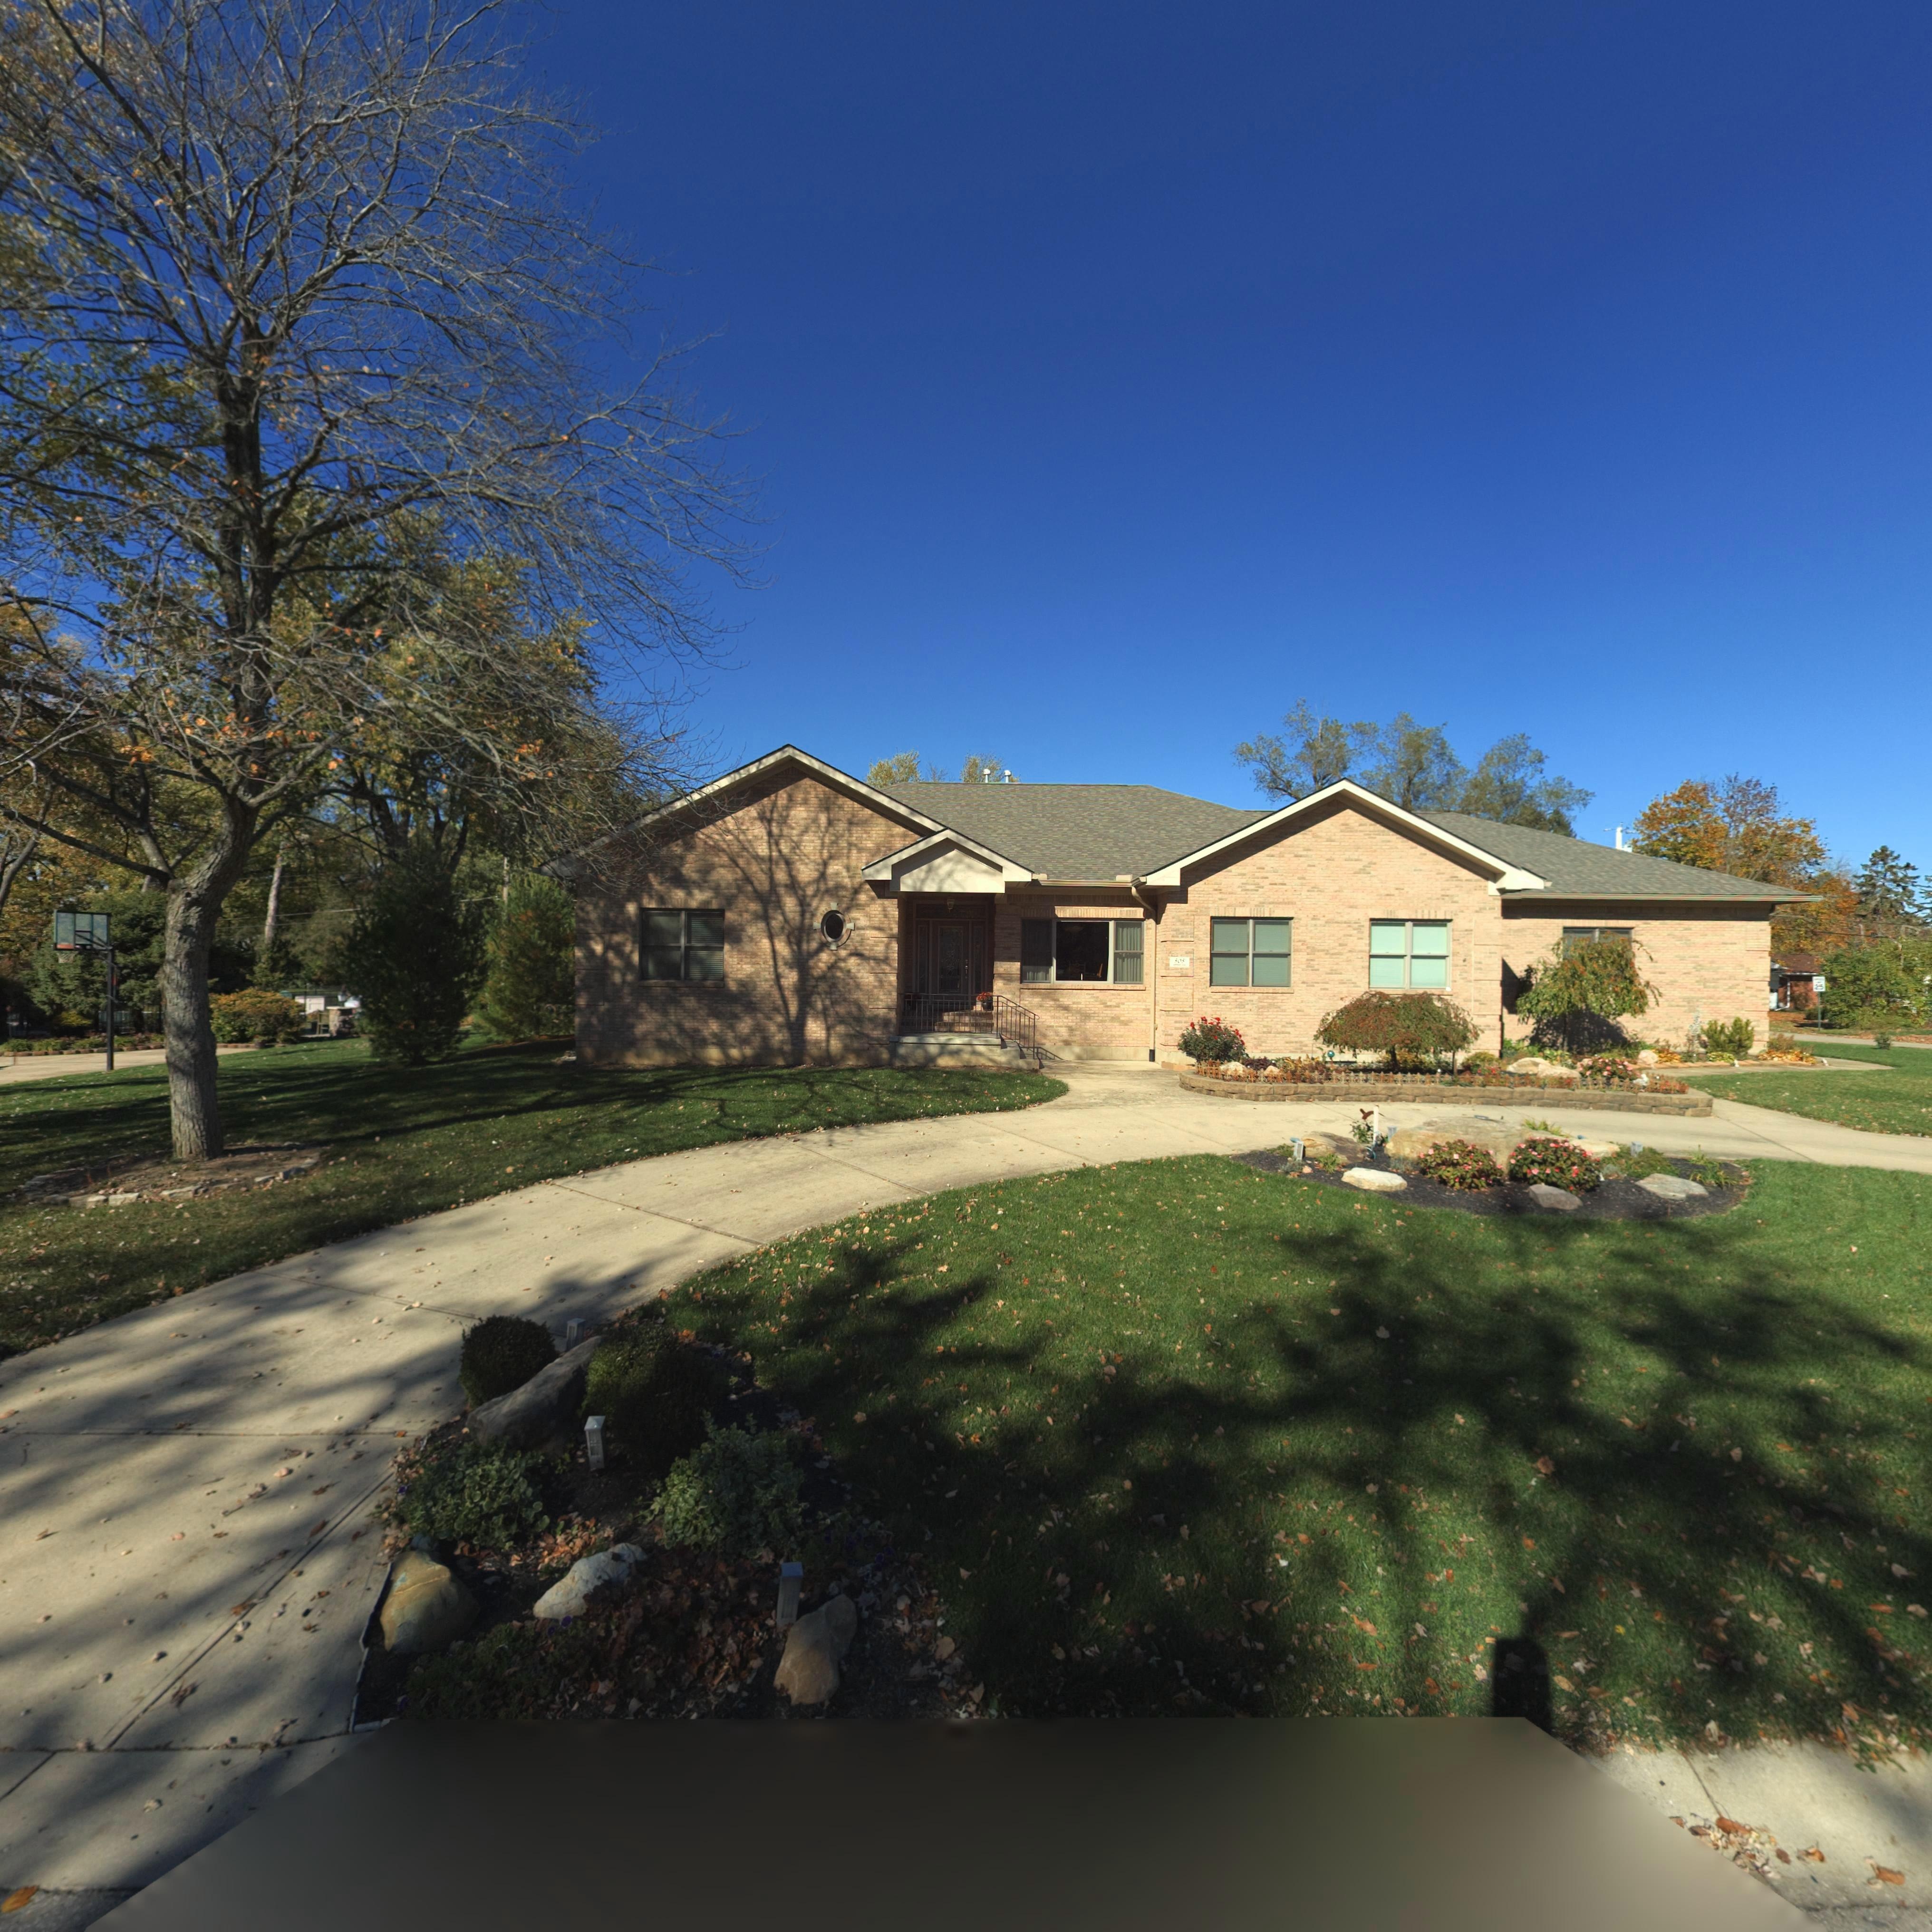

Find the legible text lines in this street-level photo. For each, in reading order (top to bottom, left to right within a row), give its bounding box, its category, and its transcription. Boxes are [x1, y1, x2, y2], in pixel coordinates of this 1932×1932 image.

[1173, 958, 1186, 964] StreetNumber: 503
[1814, 984, 1824, 990] None: 25